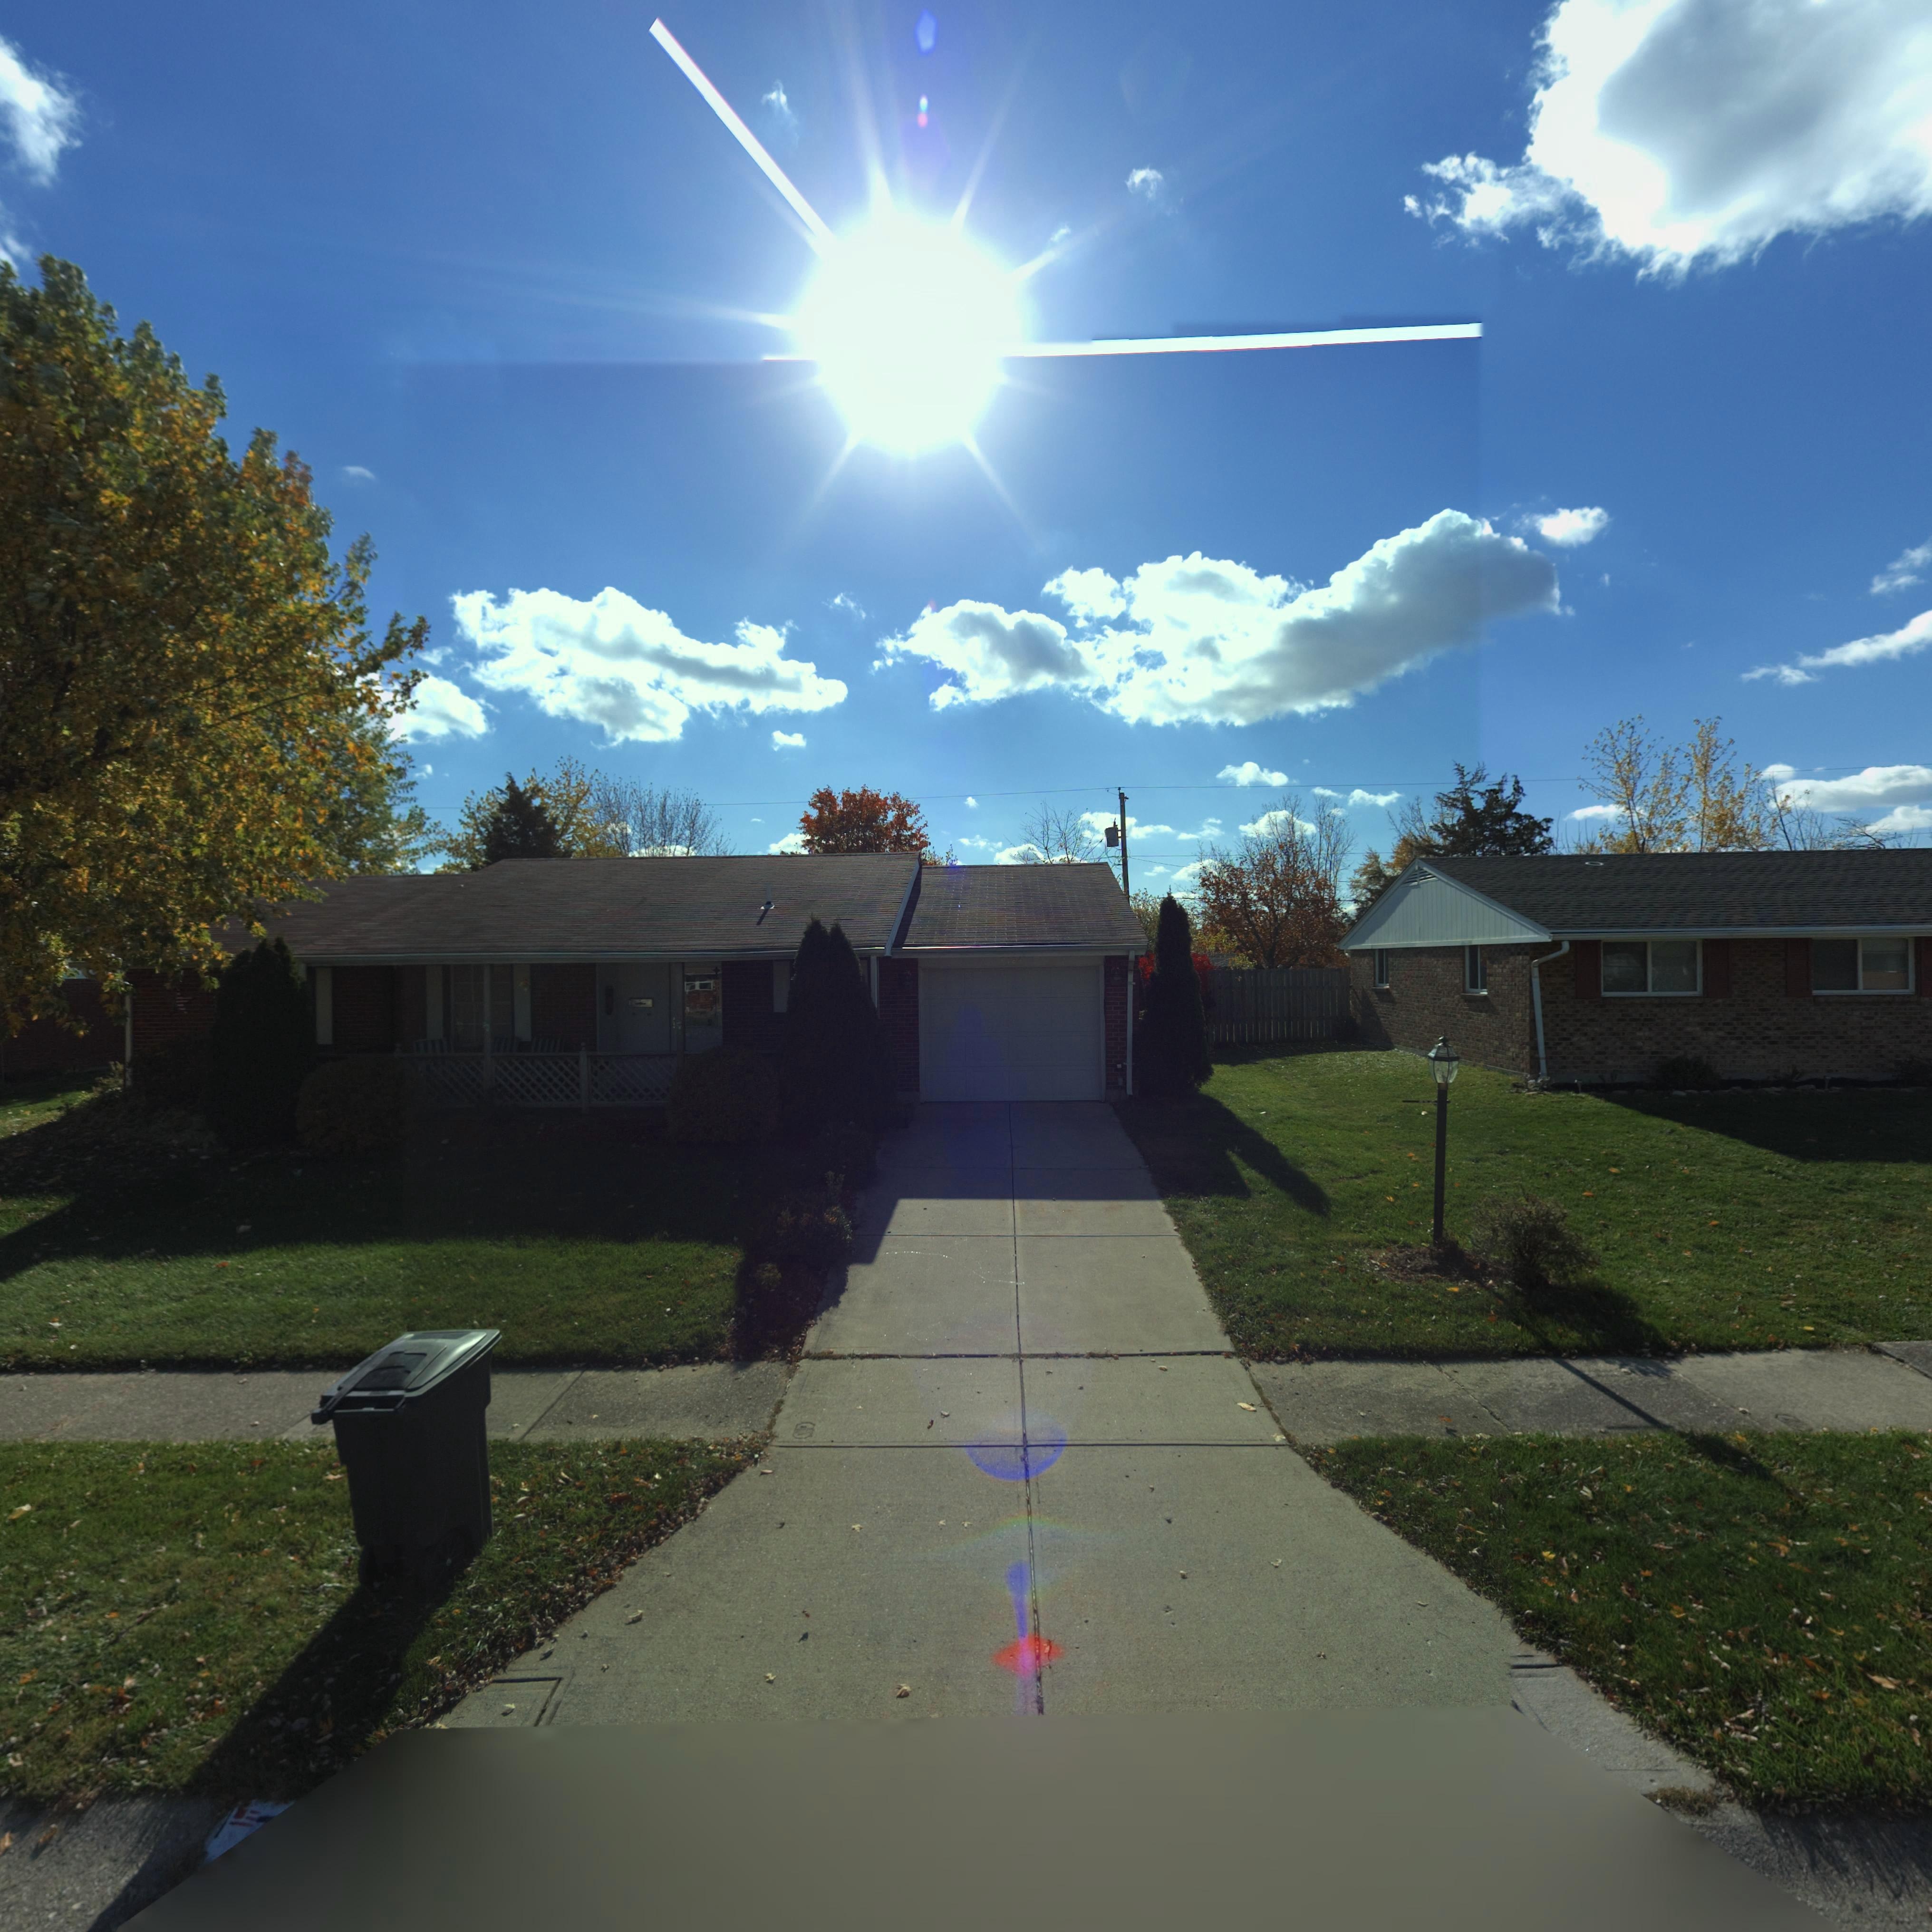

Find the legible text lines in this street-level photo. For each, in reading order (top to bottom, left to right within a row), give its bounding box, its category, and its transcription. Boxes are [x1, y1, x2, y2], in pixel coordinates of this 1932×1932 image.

[999, 956, 1023, 966] StreetNumber: 7124